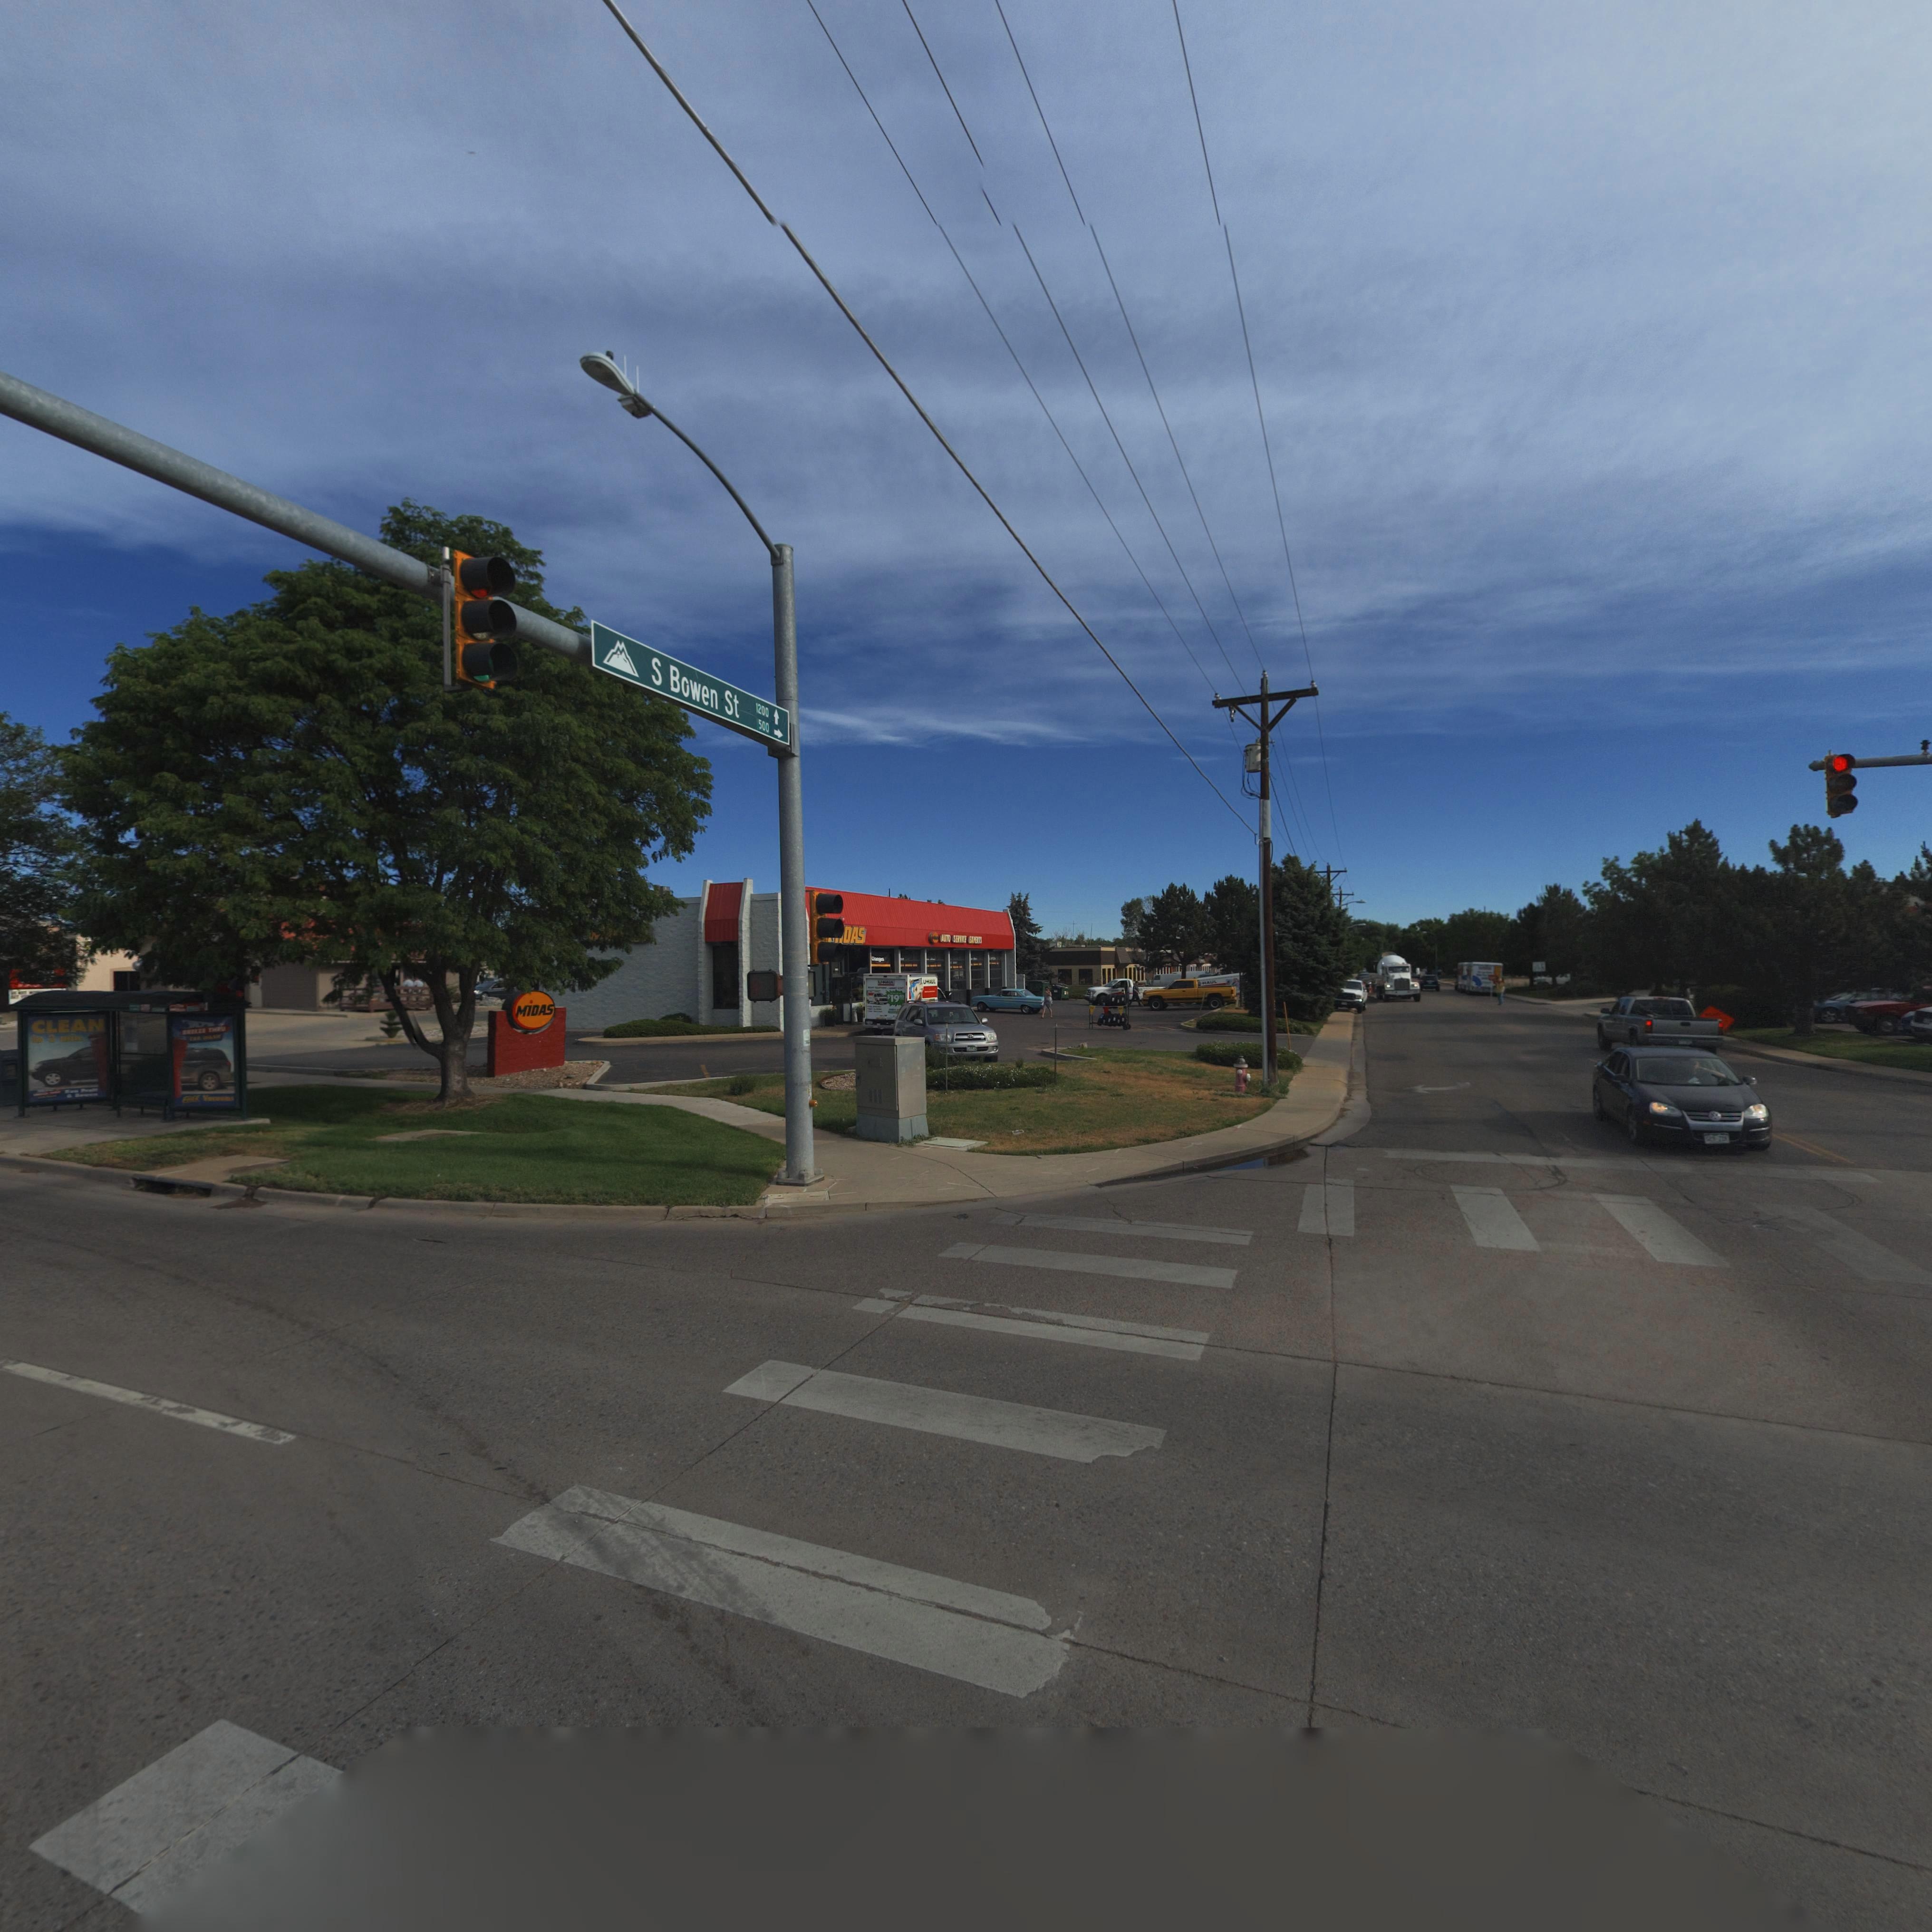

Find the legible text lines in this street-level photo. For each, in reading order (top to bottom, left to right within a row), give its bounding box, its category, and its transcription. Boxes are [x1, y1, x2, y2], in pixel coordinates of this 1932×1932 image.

[650, 656, 740, 719] StreetName: S Bowen St
[755, 702, 770, 718] StreetName: 1200
[758, 718, 784, 739] StreetNumberRange: 500->
[842, 926, 865, 944] BusinessName: DAS
[515, 998, 554, 1017] BusinessName: MiDAS